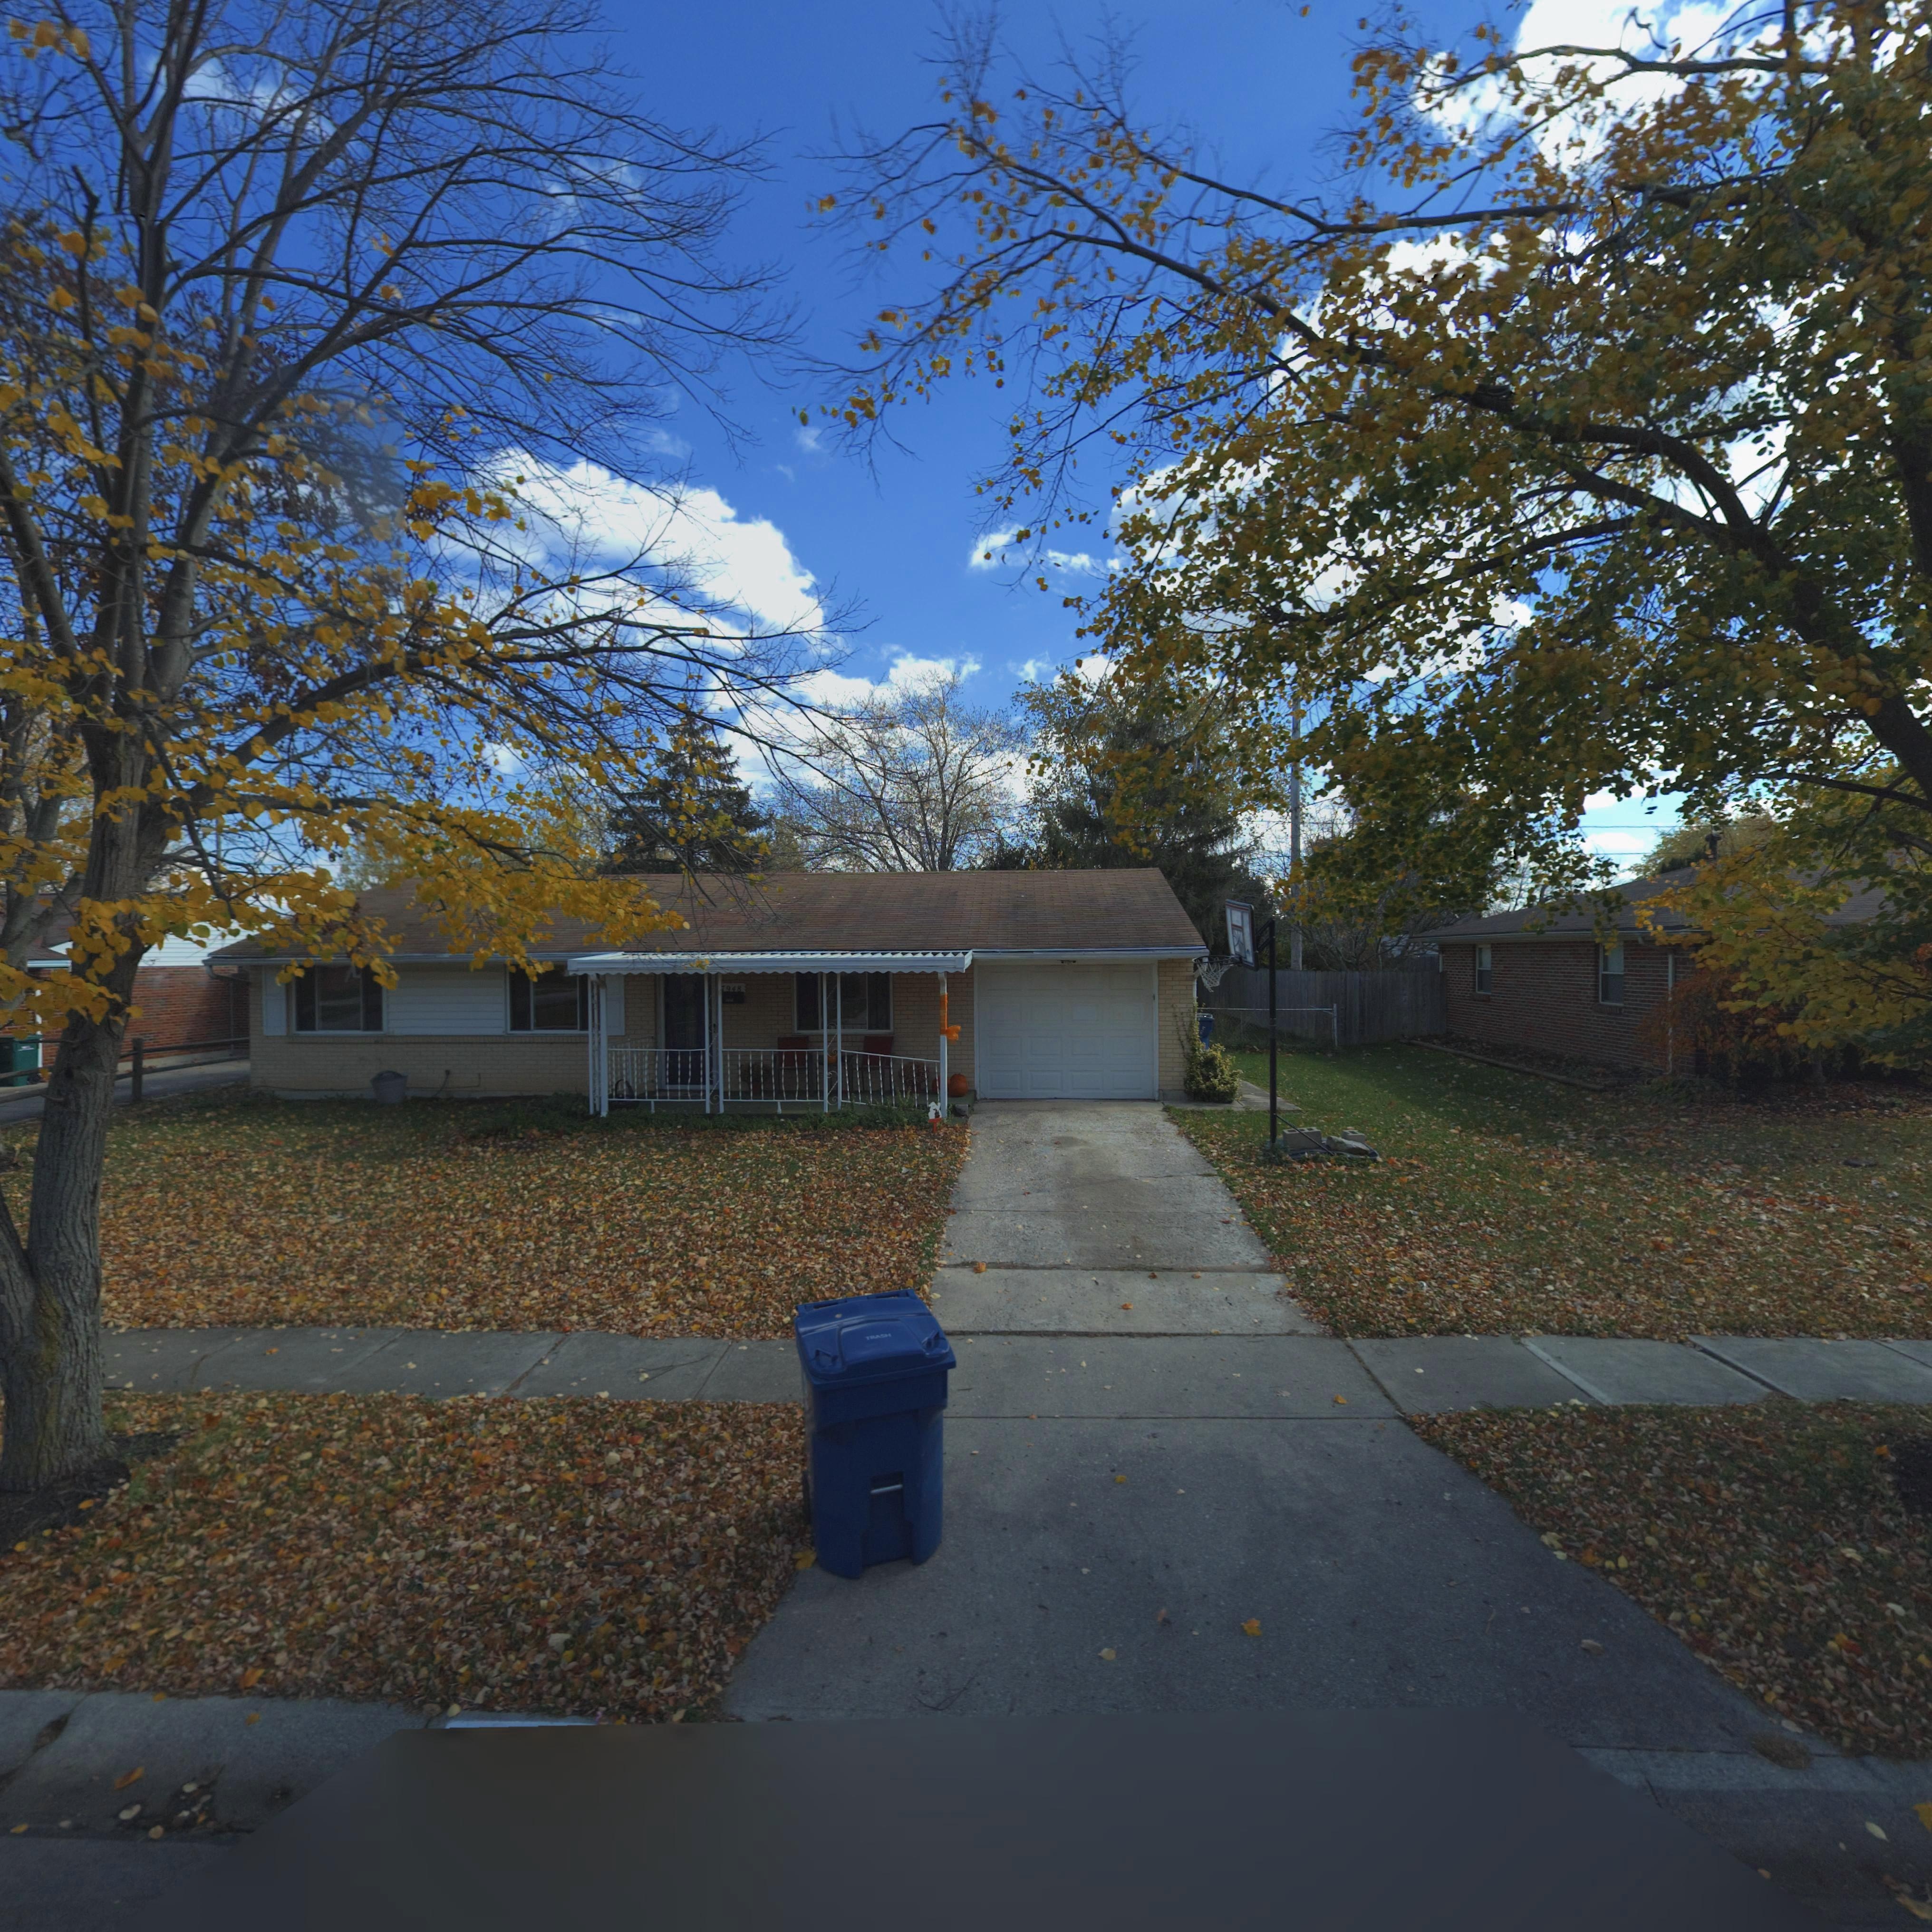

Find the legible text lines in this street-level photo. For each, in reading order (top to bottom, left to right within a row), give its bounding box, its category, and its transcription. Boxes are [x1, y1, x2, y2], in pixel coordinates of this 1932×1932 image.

[721, 985, 742, 993] StreetNumber: 7948